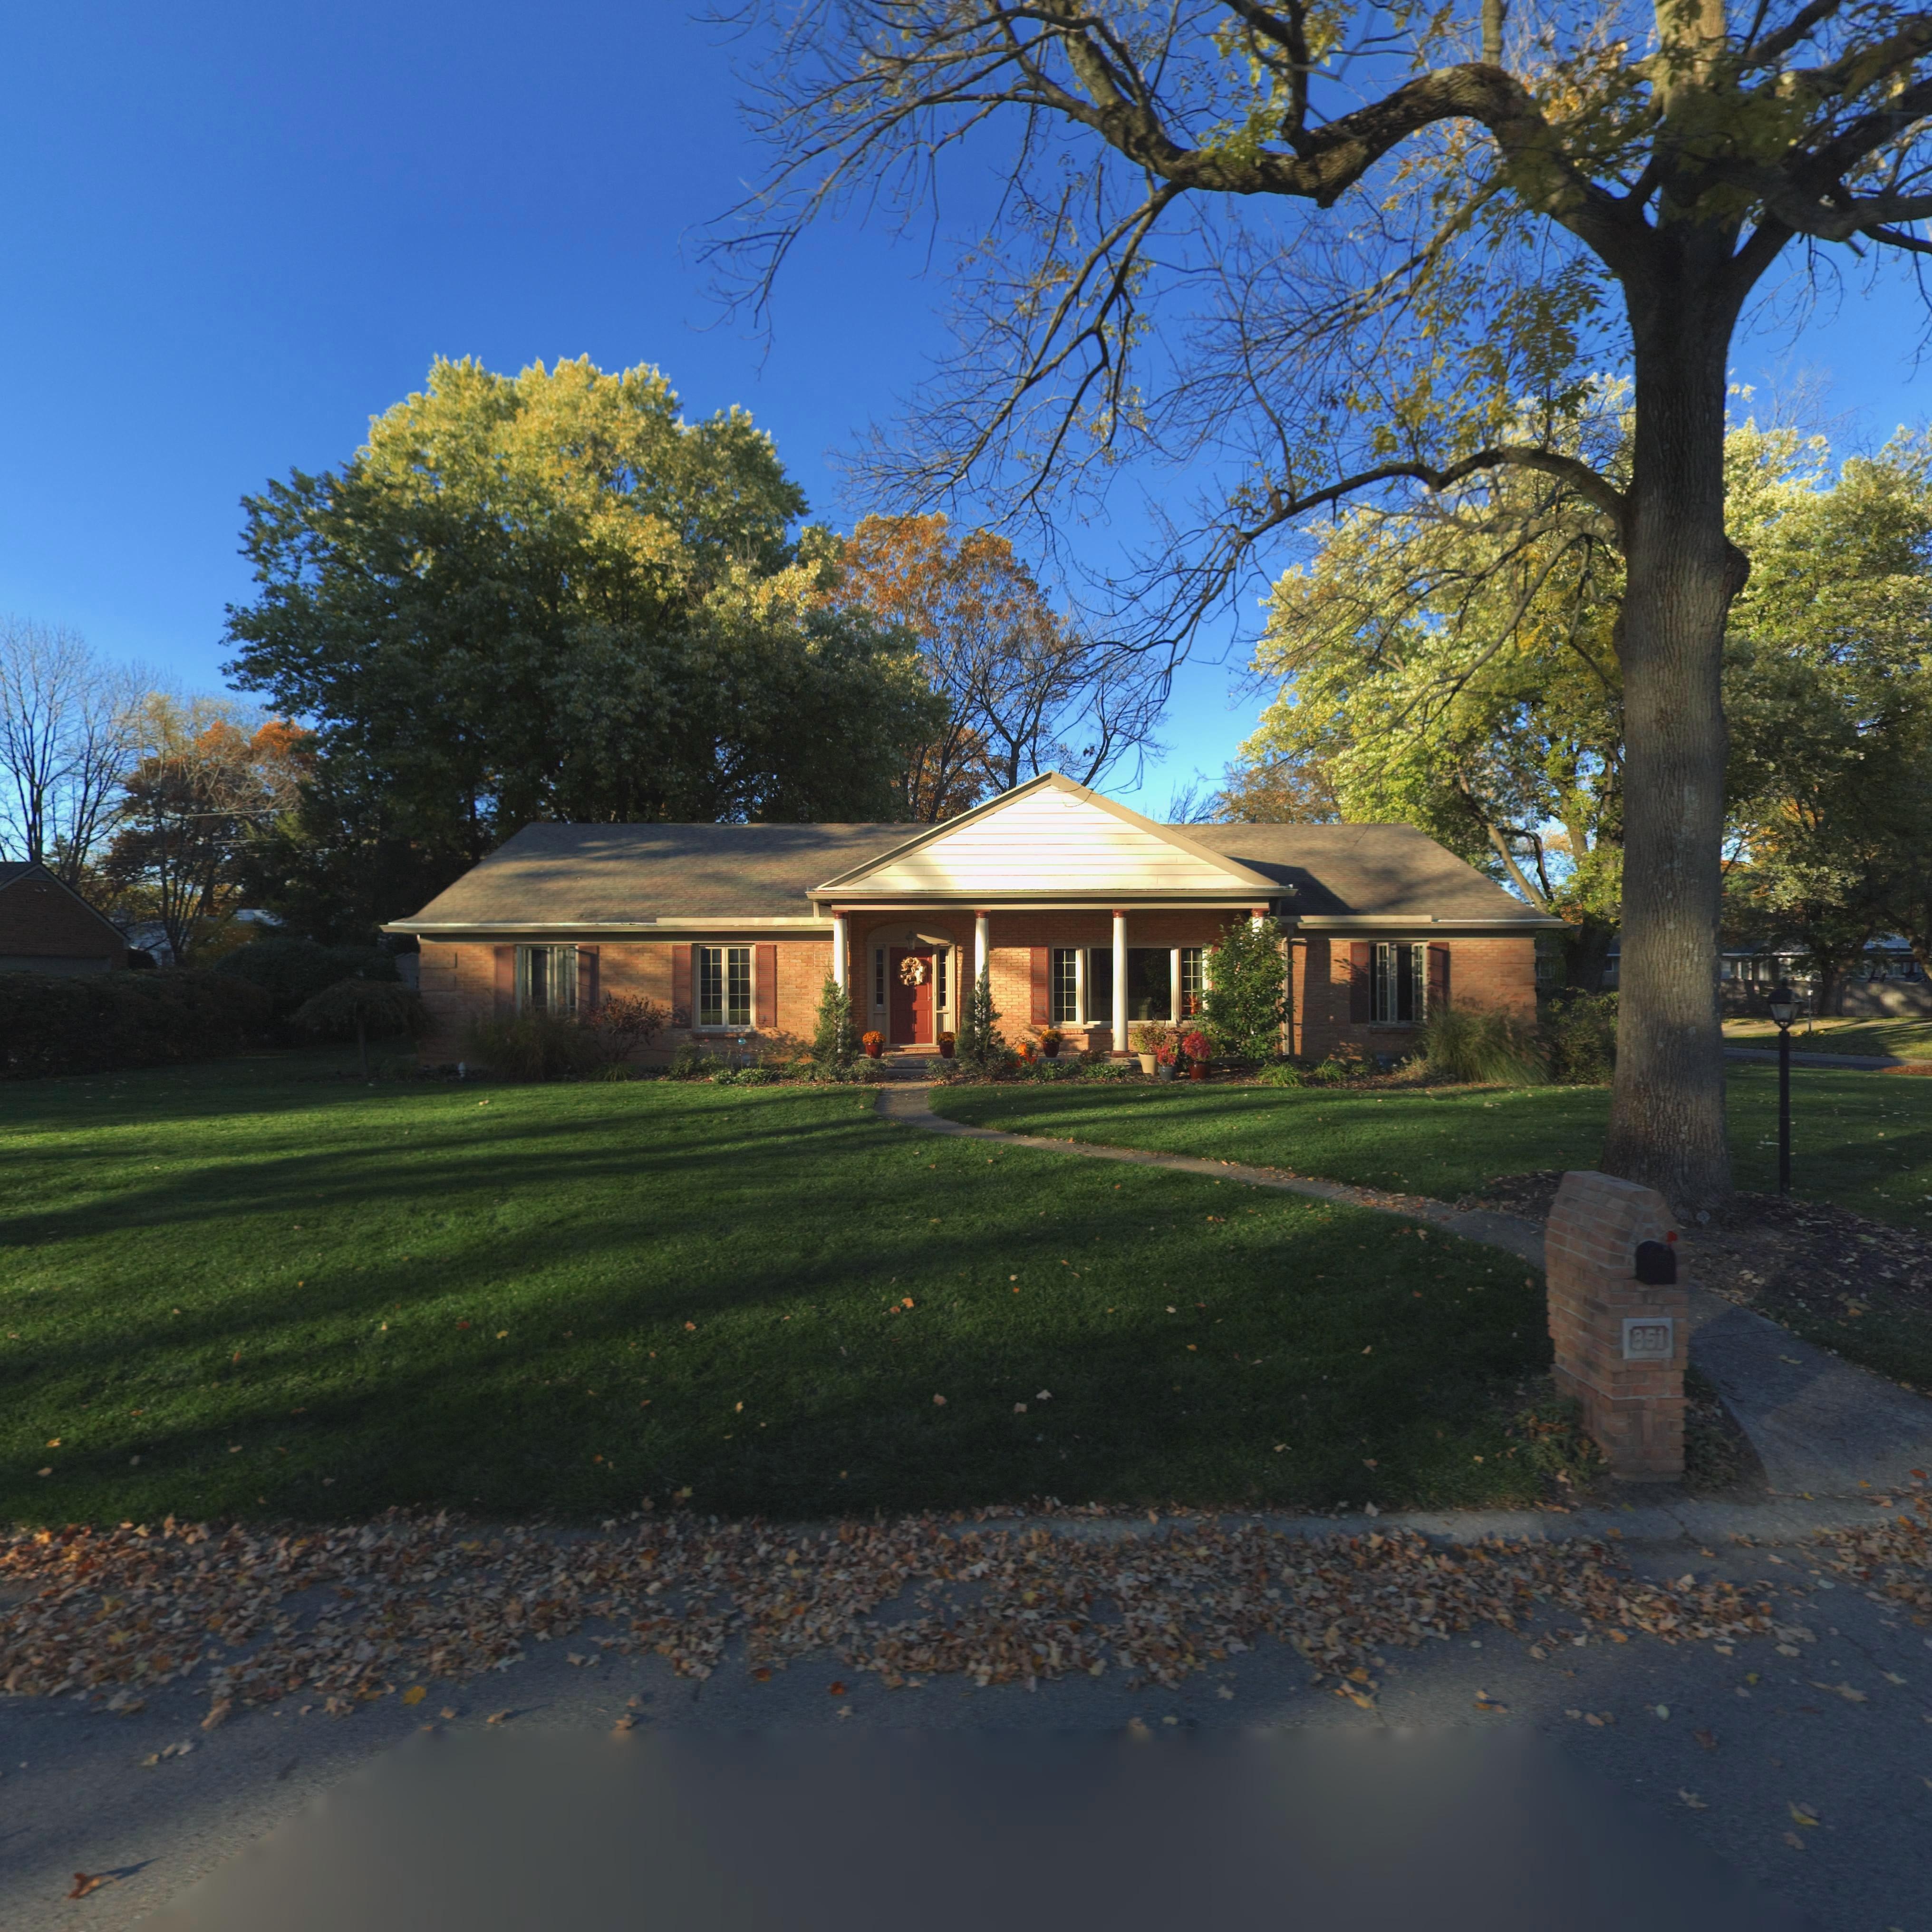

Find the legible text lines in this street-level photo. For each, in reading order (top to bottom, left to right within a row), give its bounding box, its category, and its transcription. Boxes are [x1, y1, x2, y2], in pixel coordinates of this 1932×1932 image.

[1630, 1327, 1667, 1352] StreetNumber: 351